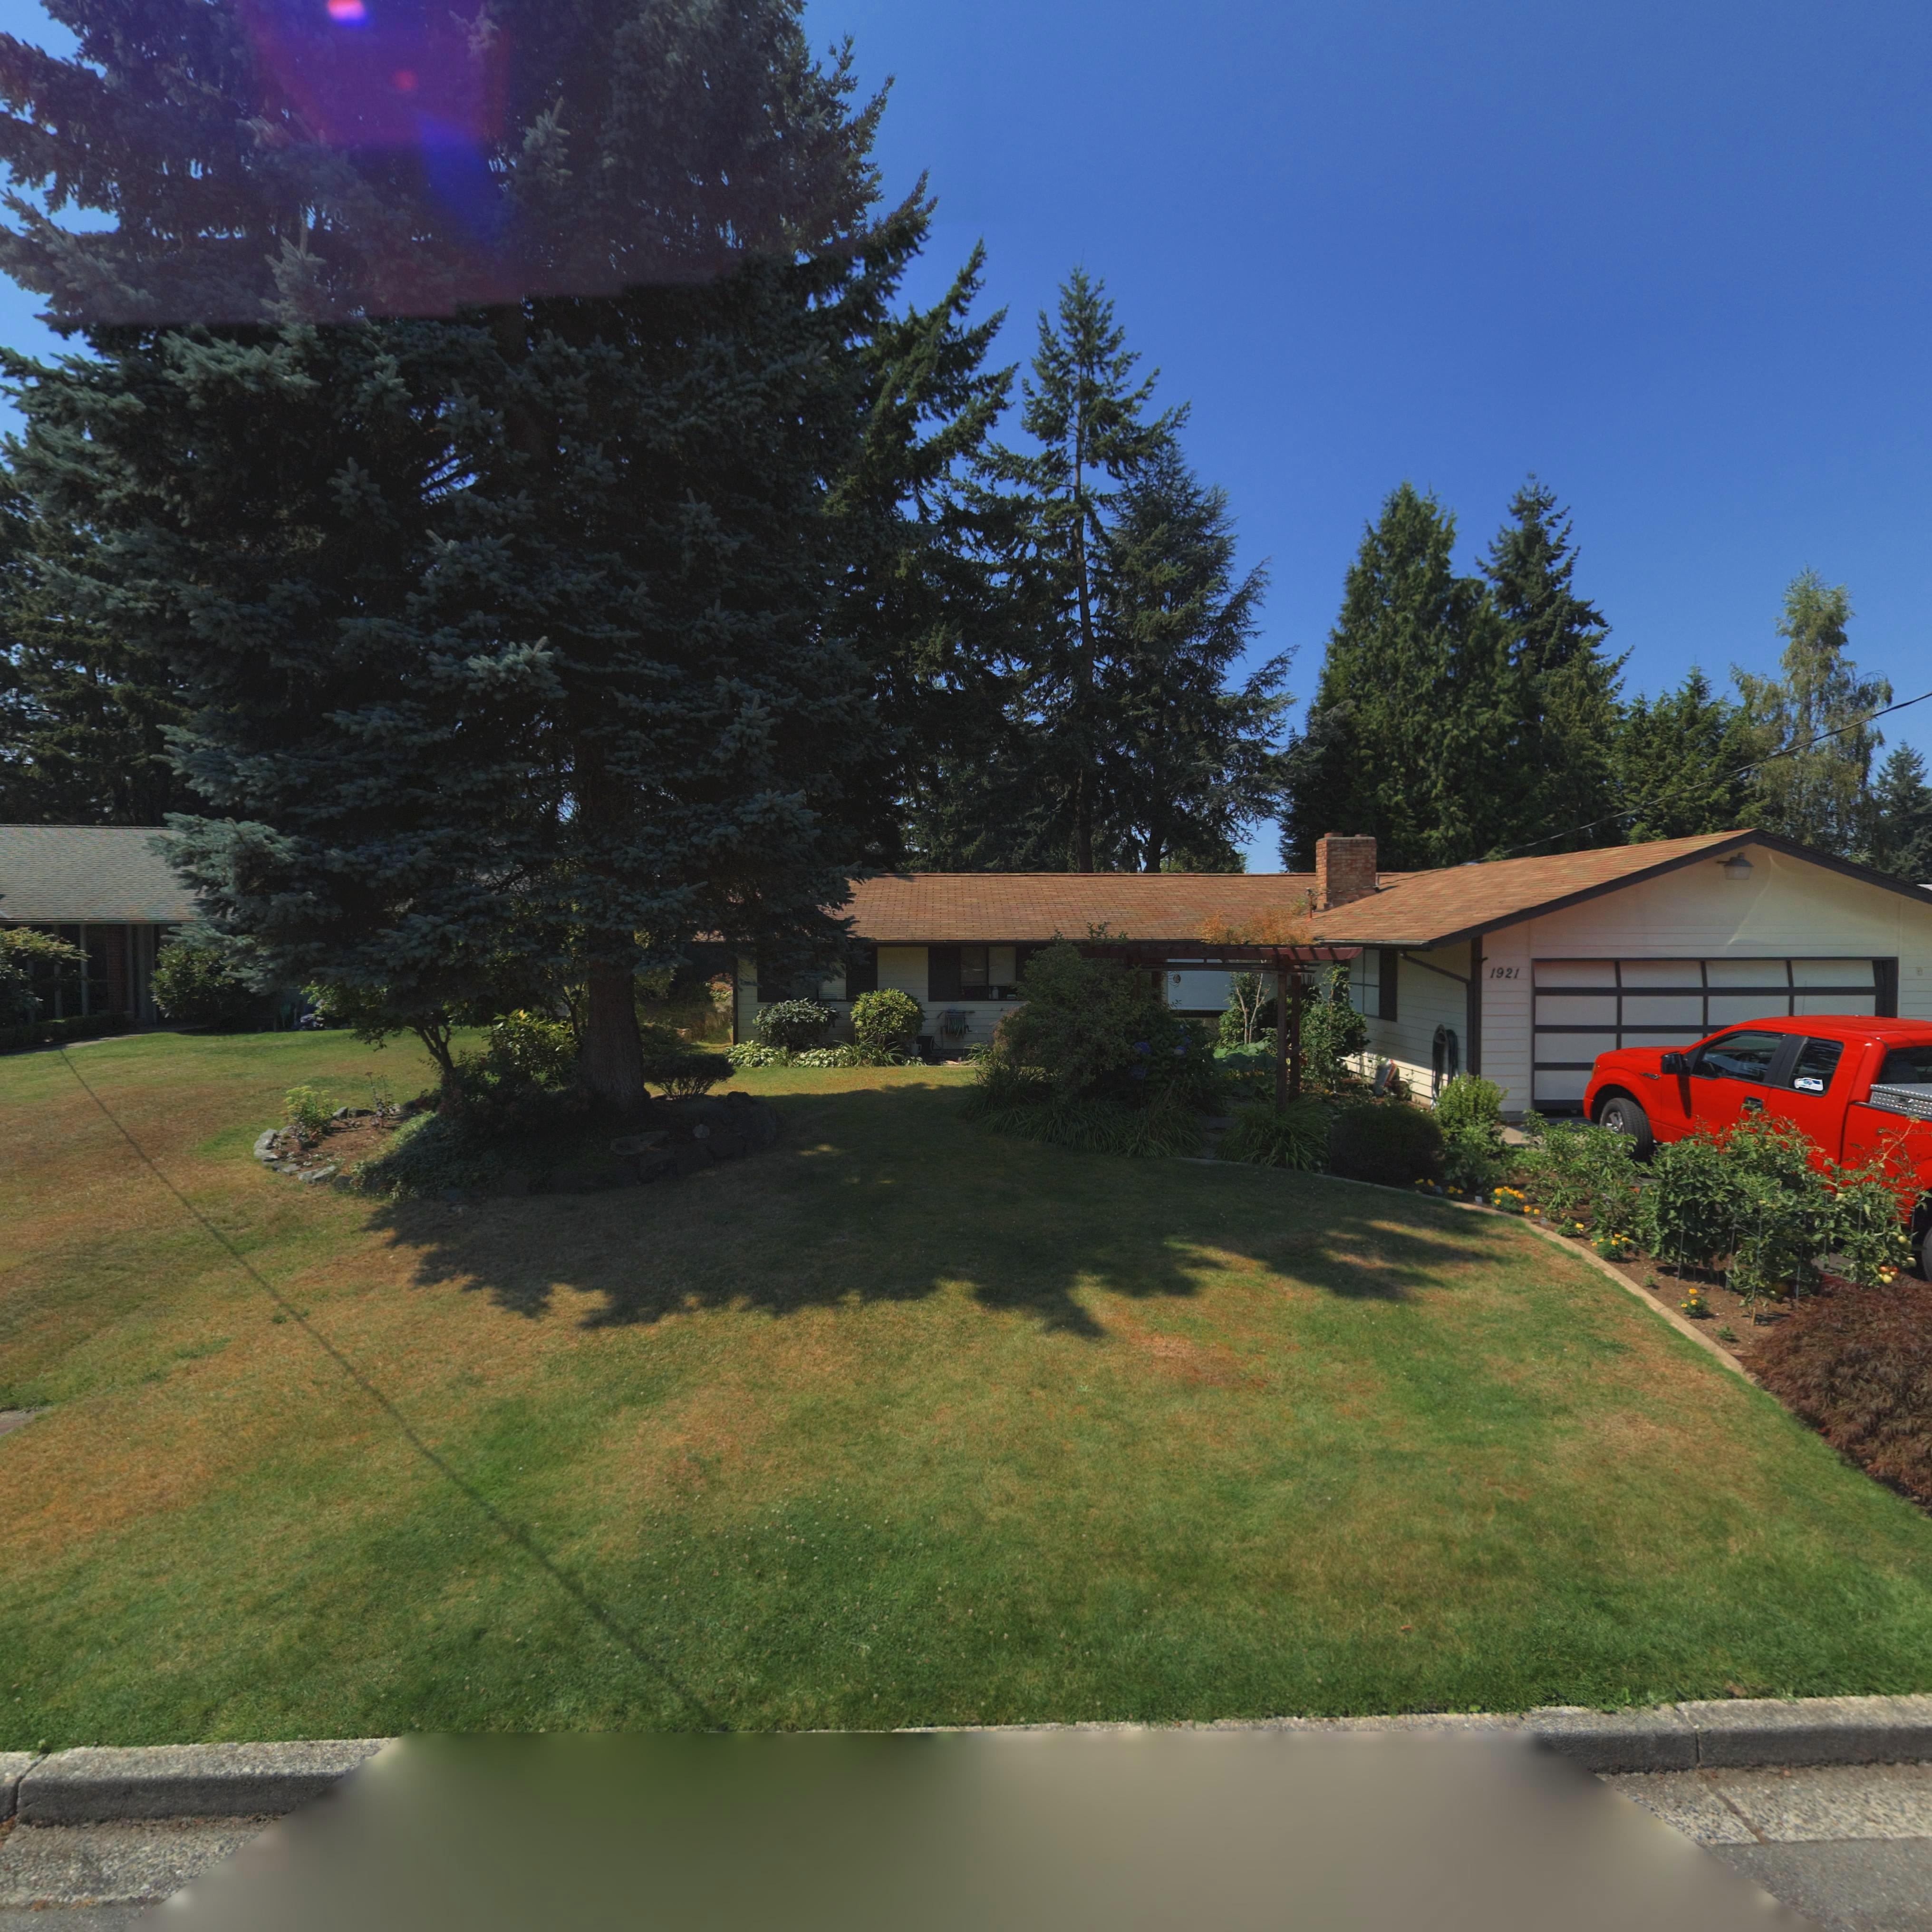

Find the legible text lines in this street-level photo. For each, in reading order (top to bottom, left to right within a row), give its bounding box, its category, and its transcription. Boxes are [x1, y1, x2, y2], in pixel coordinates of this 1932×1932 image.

[1488, 967, 1521, 979] StreetNumber: 1921